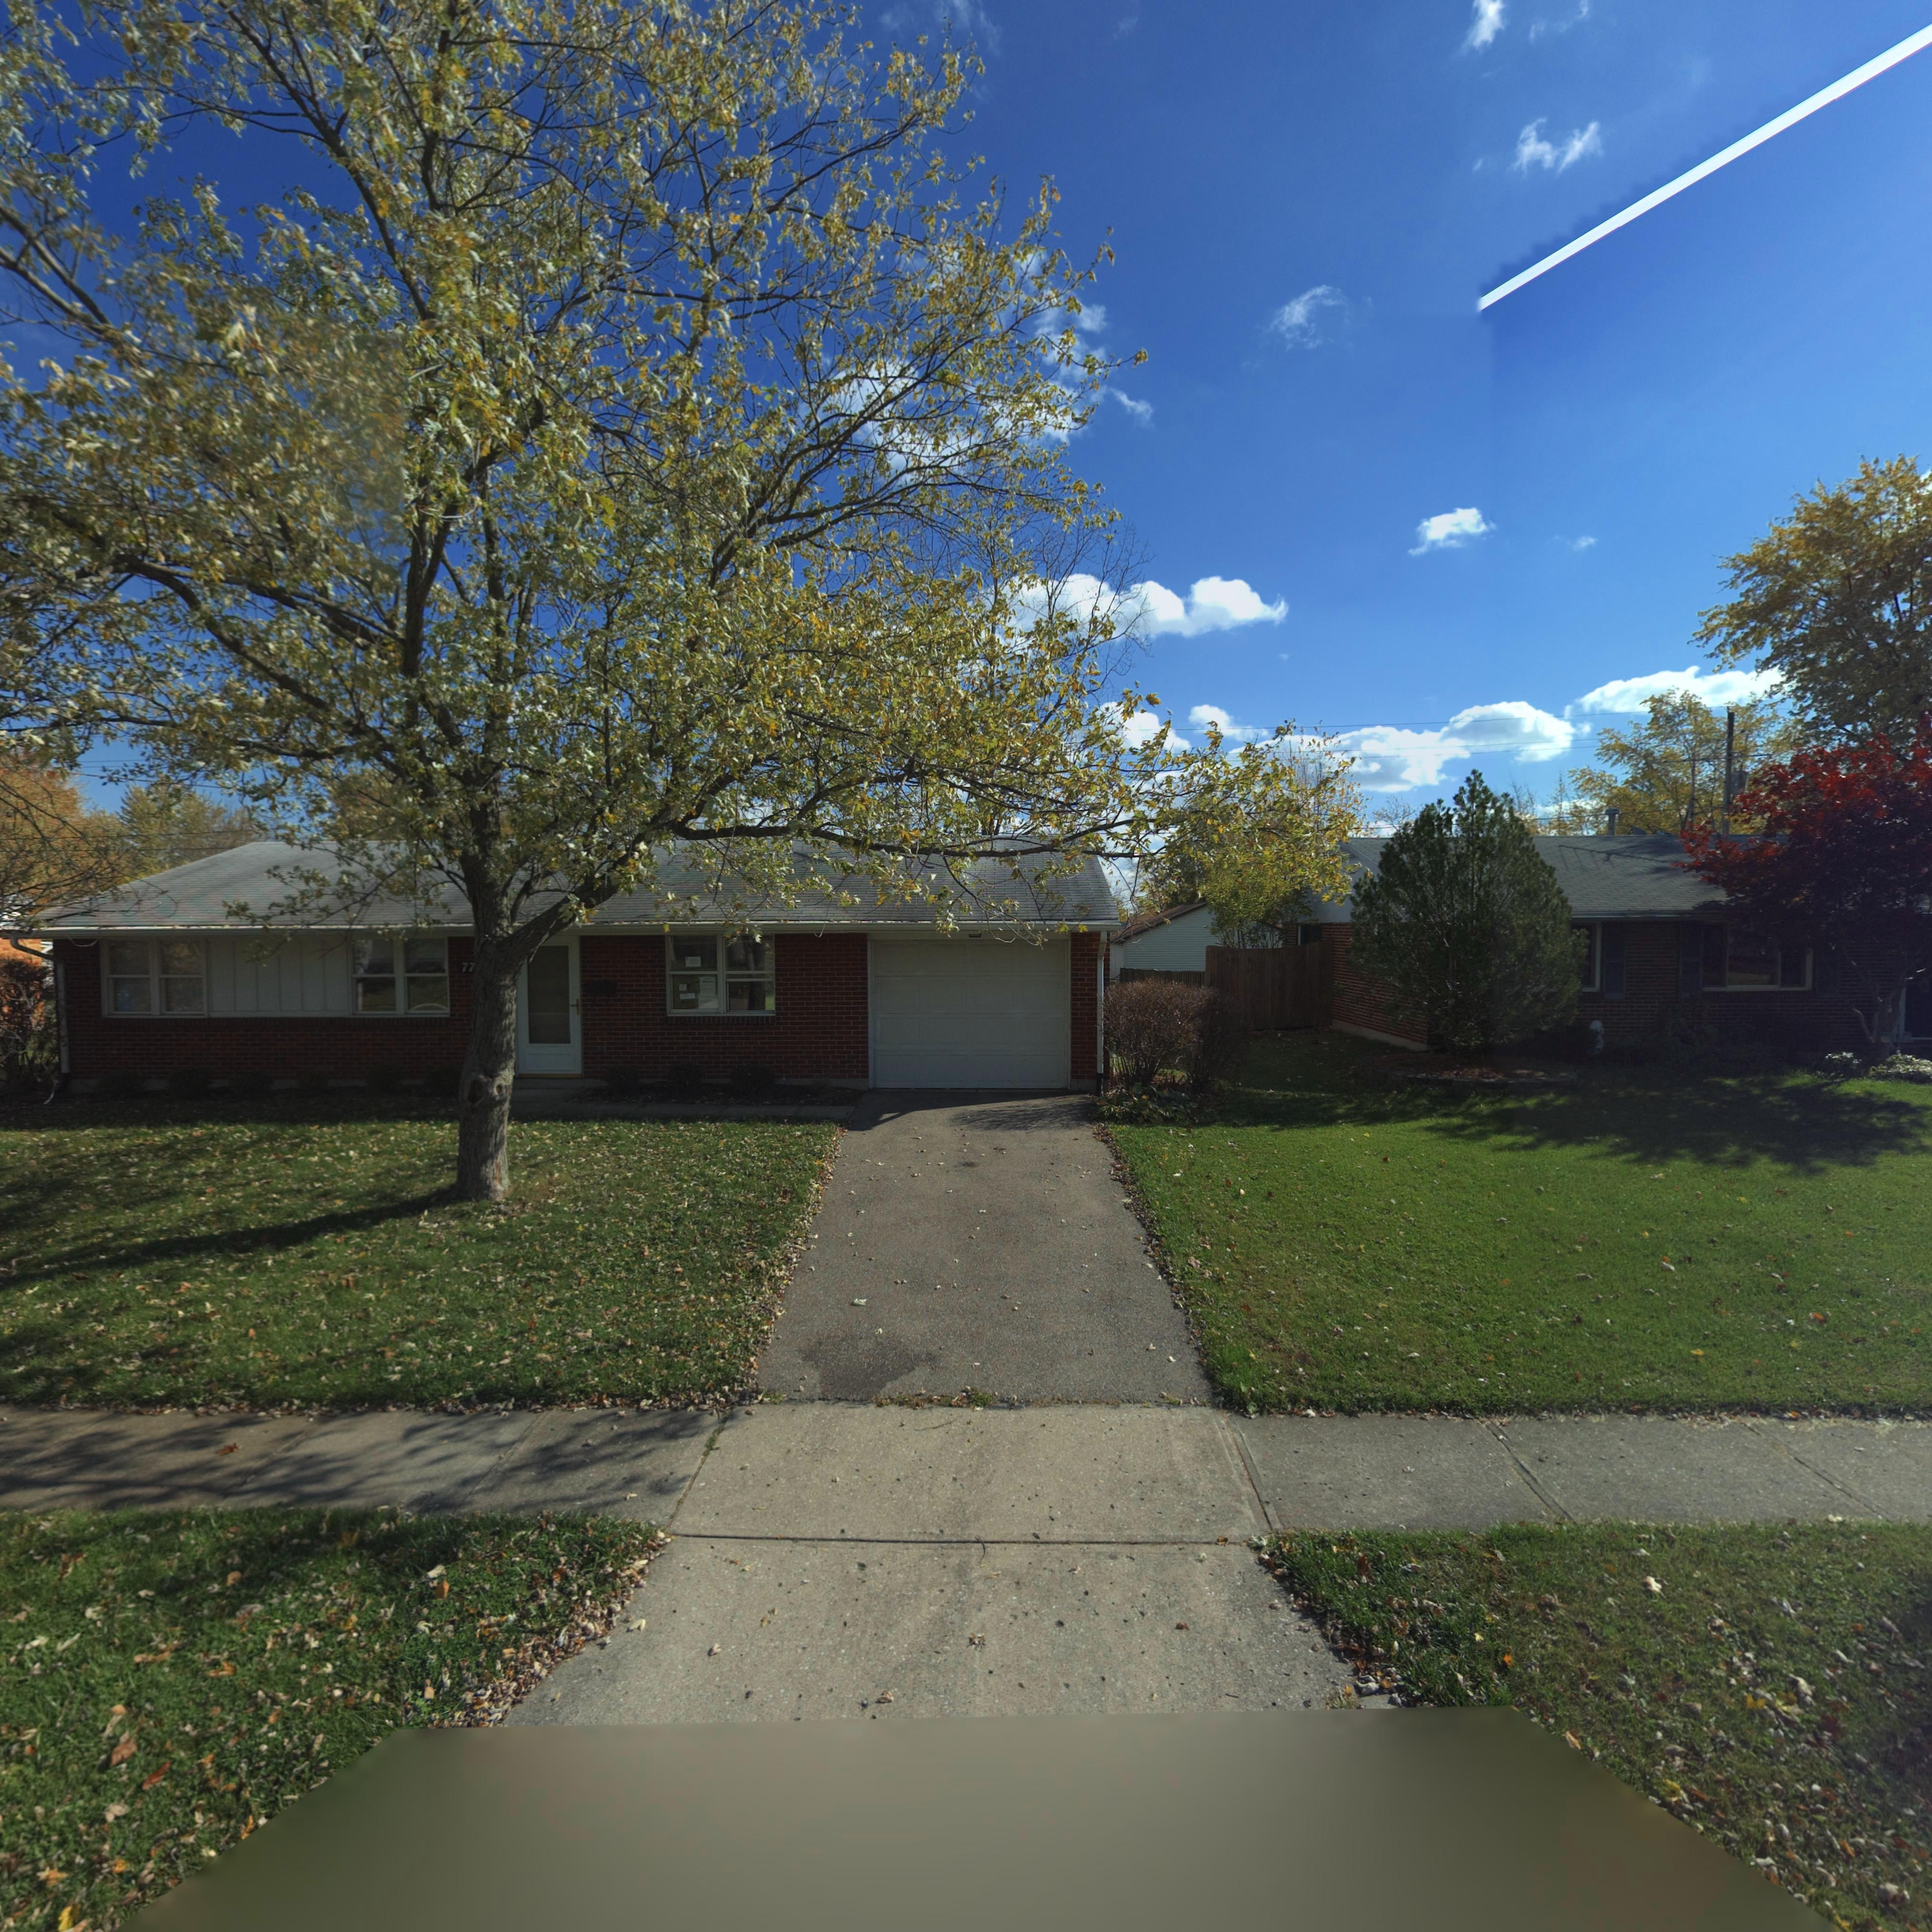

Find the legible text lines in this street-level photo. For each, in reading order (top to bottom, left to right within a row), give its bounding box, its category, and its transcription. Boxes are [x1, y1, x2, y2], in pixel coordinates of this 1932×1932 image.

[461, 961, 477, 973] StreetNumber: 77